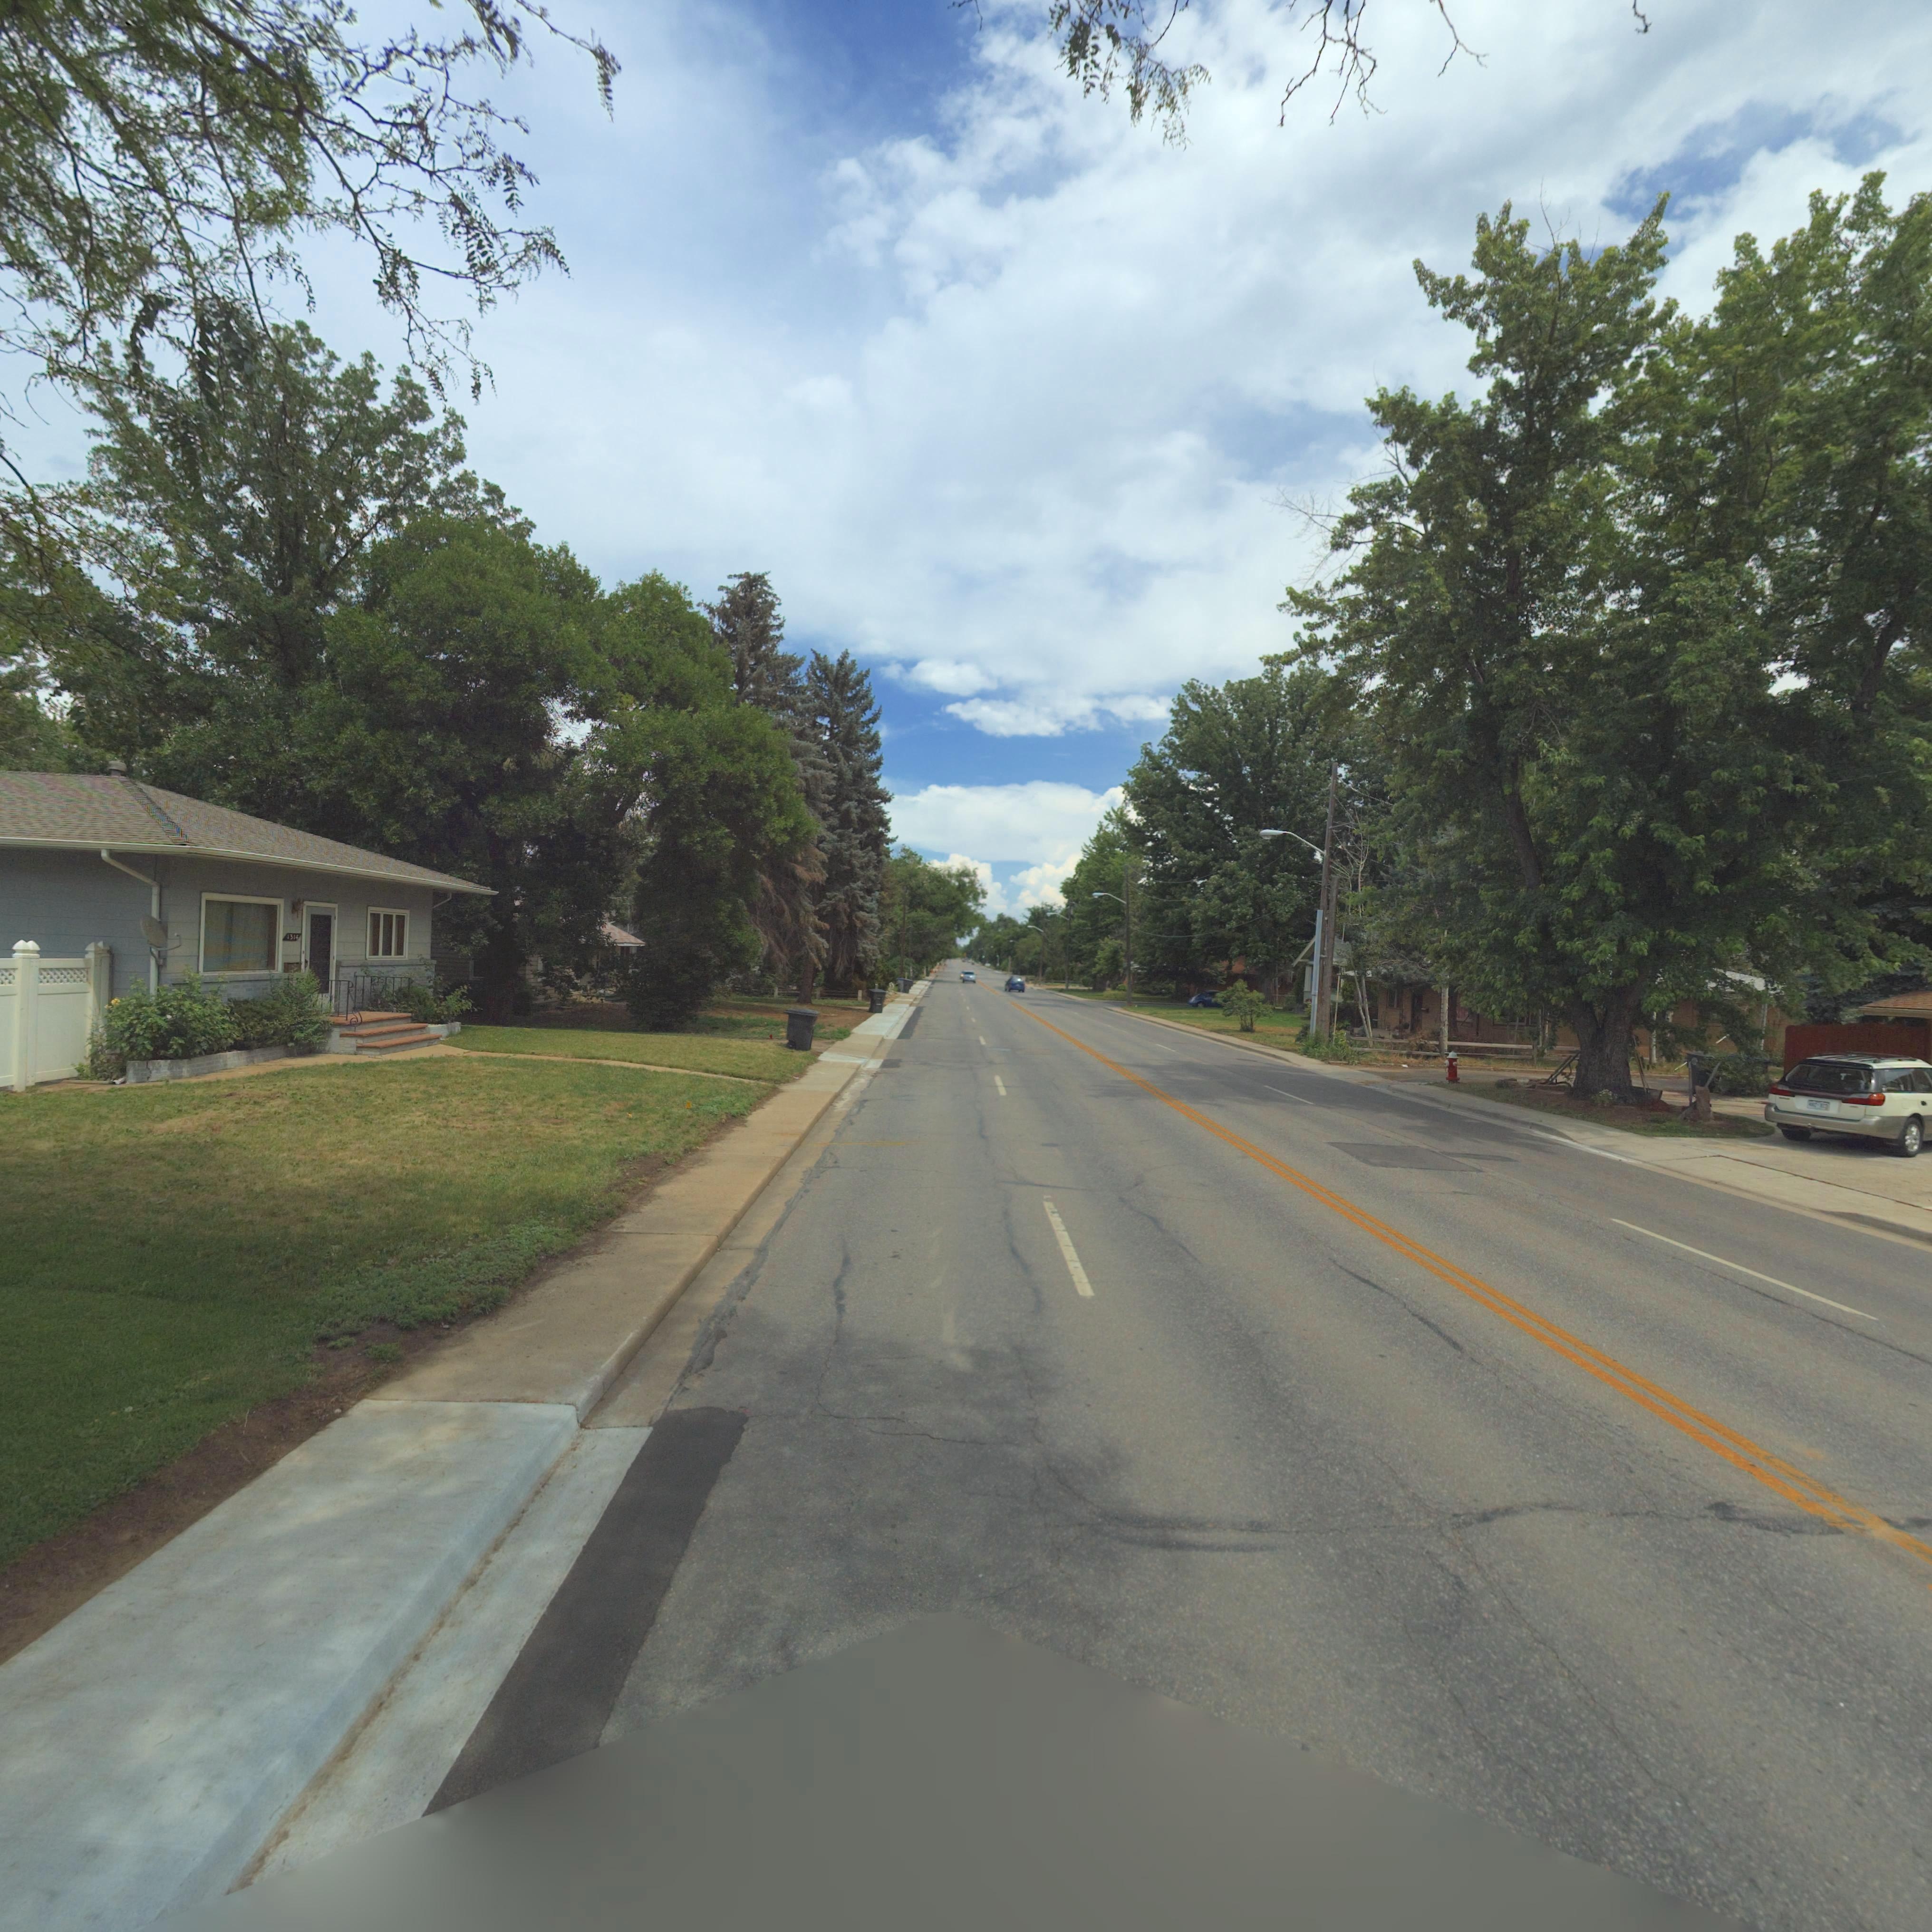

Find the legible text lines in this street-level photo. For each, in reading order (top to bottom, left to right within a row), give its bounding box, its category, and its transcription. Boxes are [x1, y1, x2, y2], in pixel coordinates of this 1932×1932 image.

[287, 933, 299, 940] StreetNumber: 1314